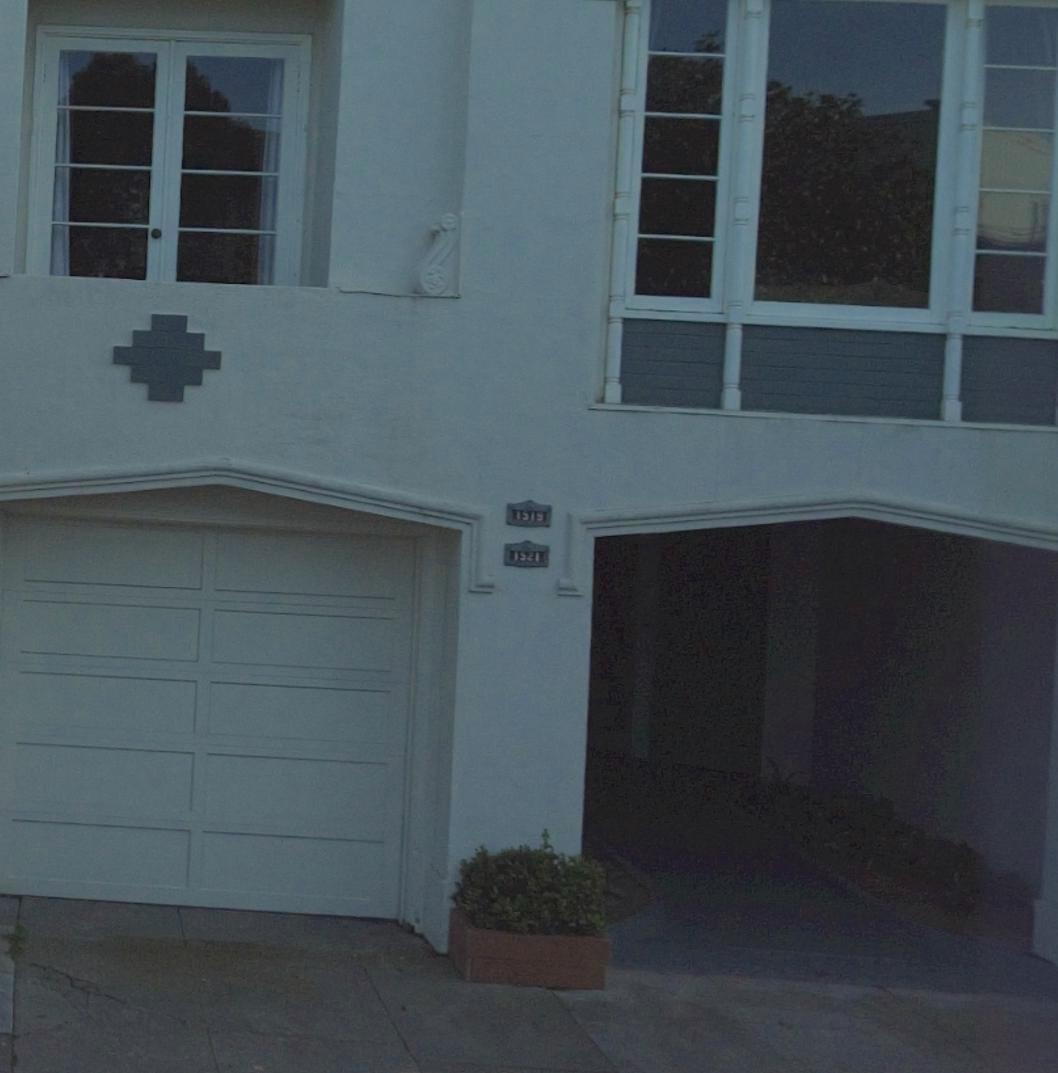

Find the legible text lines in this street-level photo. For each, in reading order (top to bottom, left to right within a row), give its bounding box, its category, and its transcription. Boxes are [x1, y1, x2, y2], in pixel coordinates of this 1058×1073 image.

[514, 508, 546, 524] StreetNumber: 1519
[512, 549, 542, 564] StreetNumber: 1521